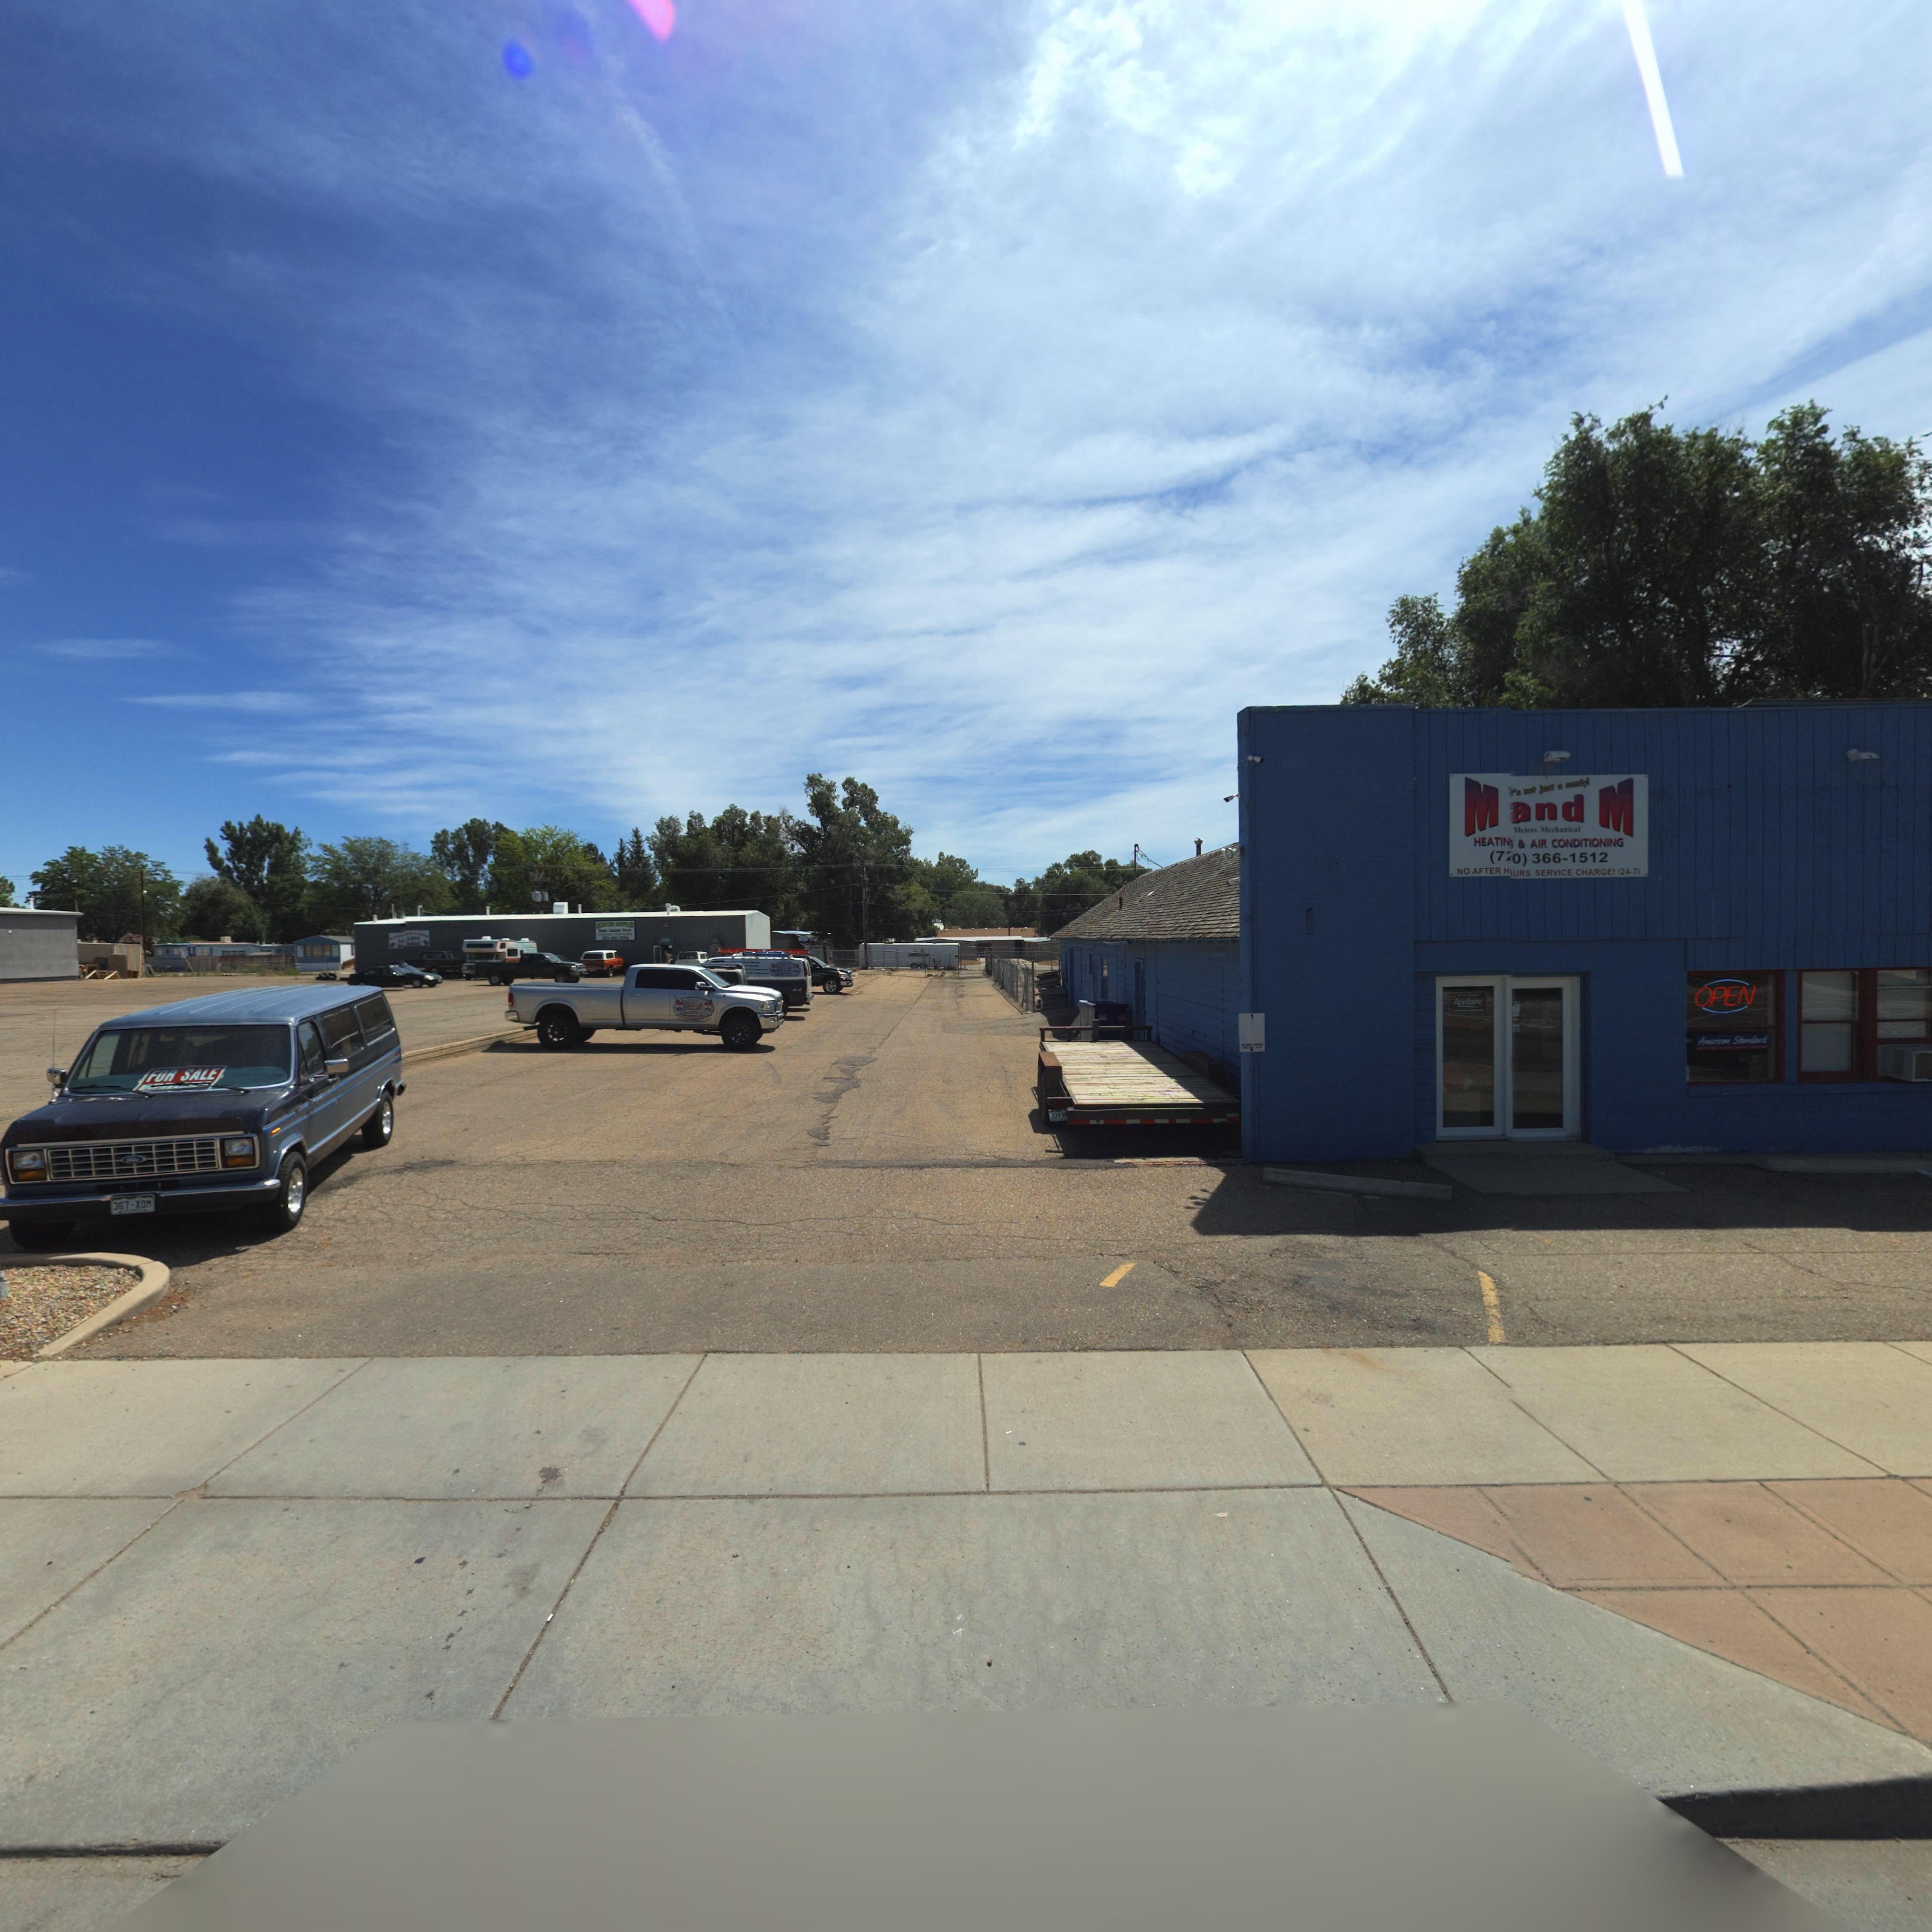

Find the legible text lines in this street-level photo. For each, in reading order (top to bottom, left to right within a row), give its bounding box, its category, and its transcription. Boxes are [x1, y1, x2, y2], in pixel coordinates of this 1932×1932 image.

[1463, 774, 1635, 839] BusinessName: M and M